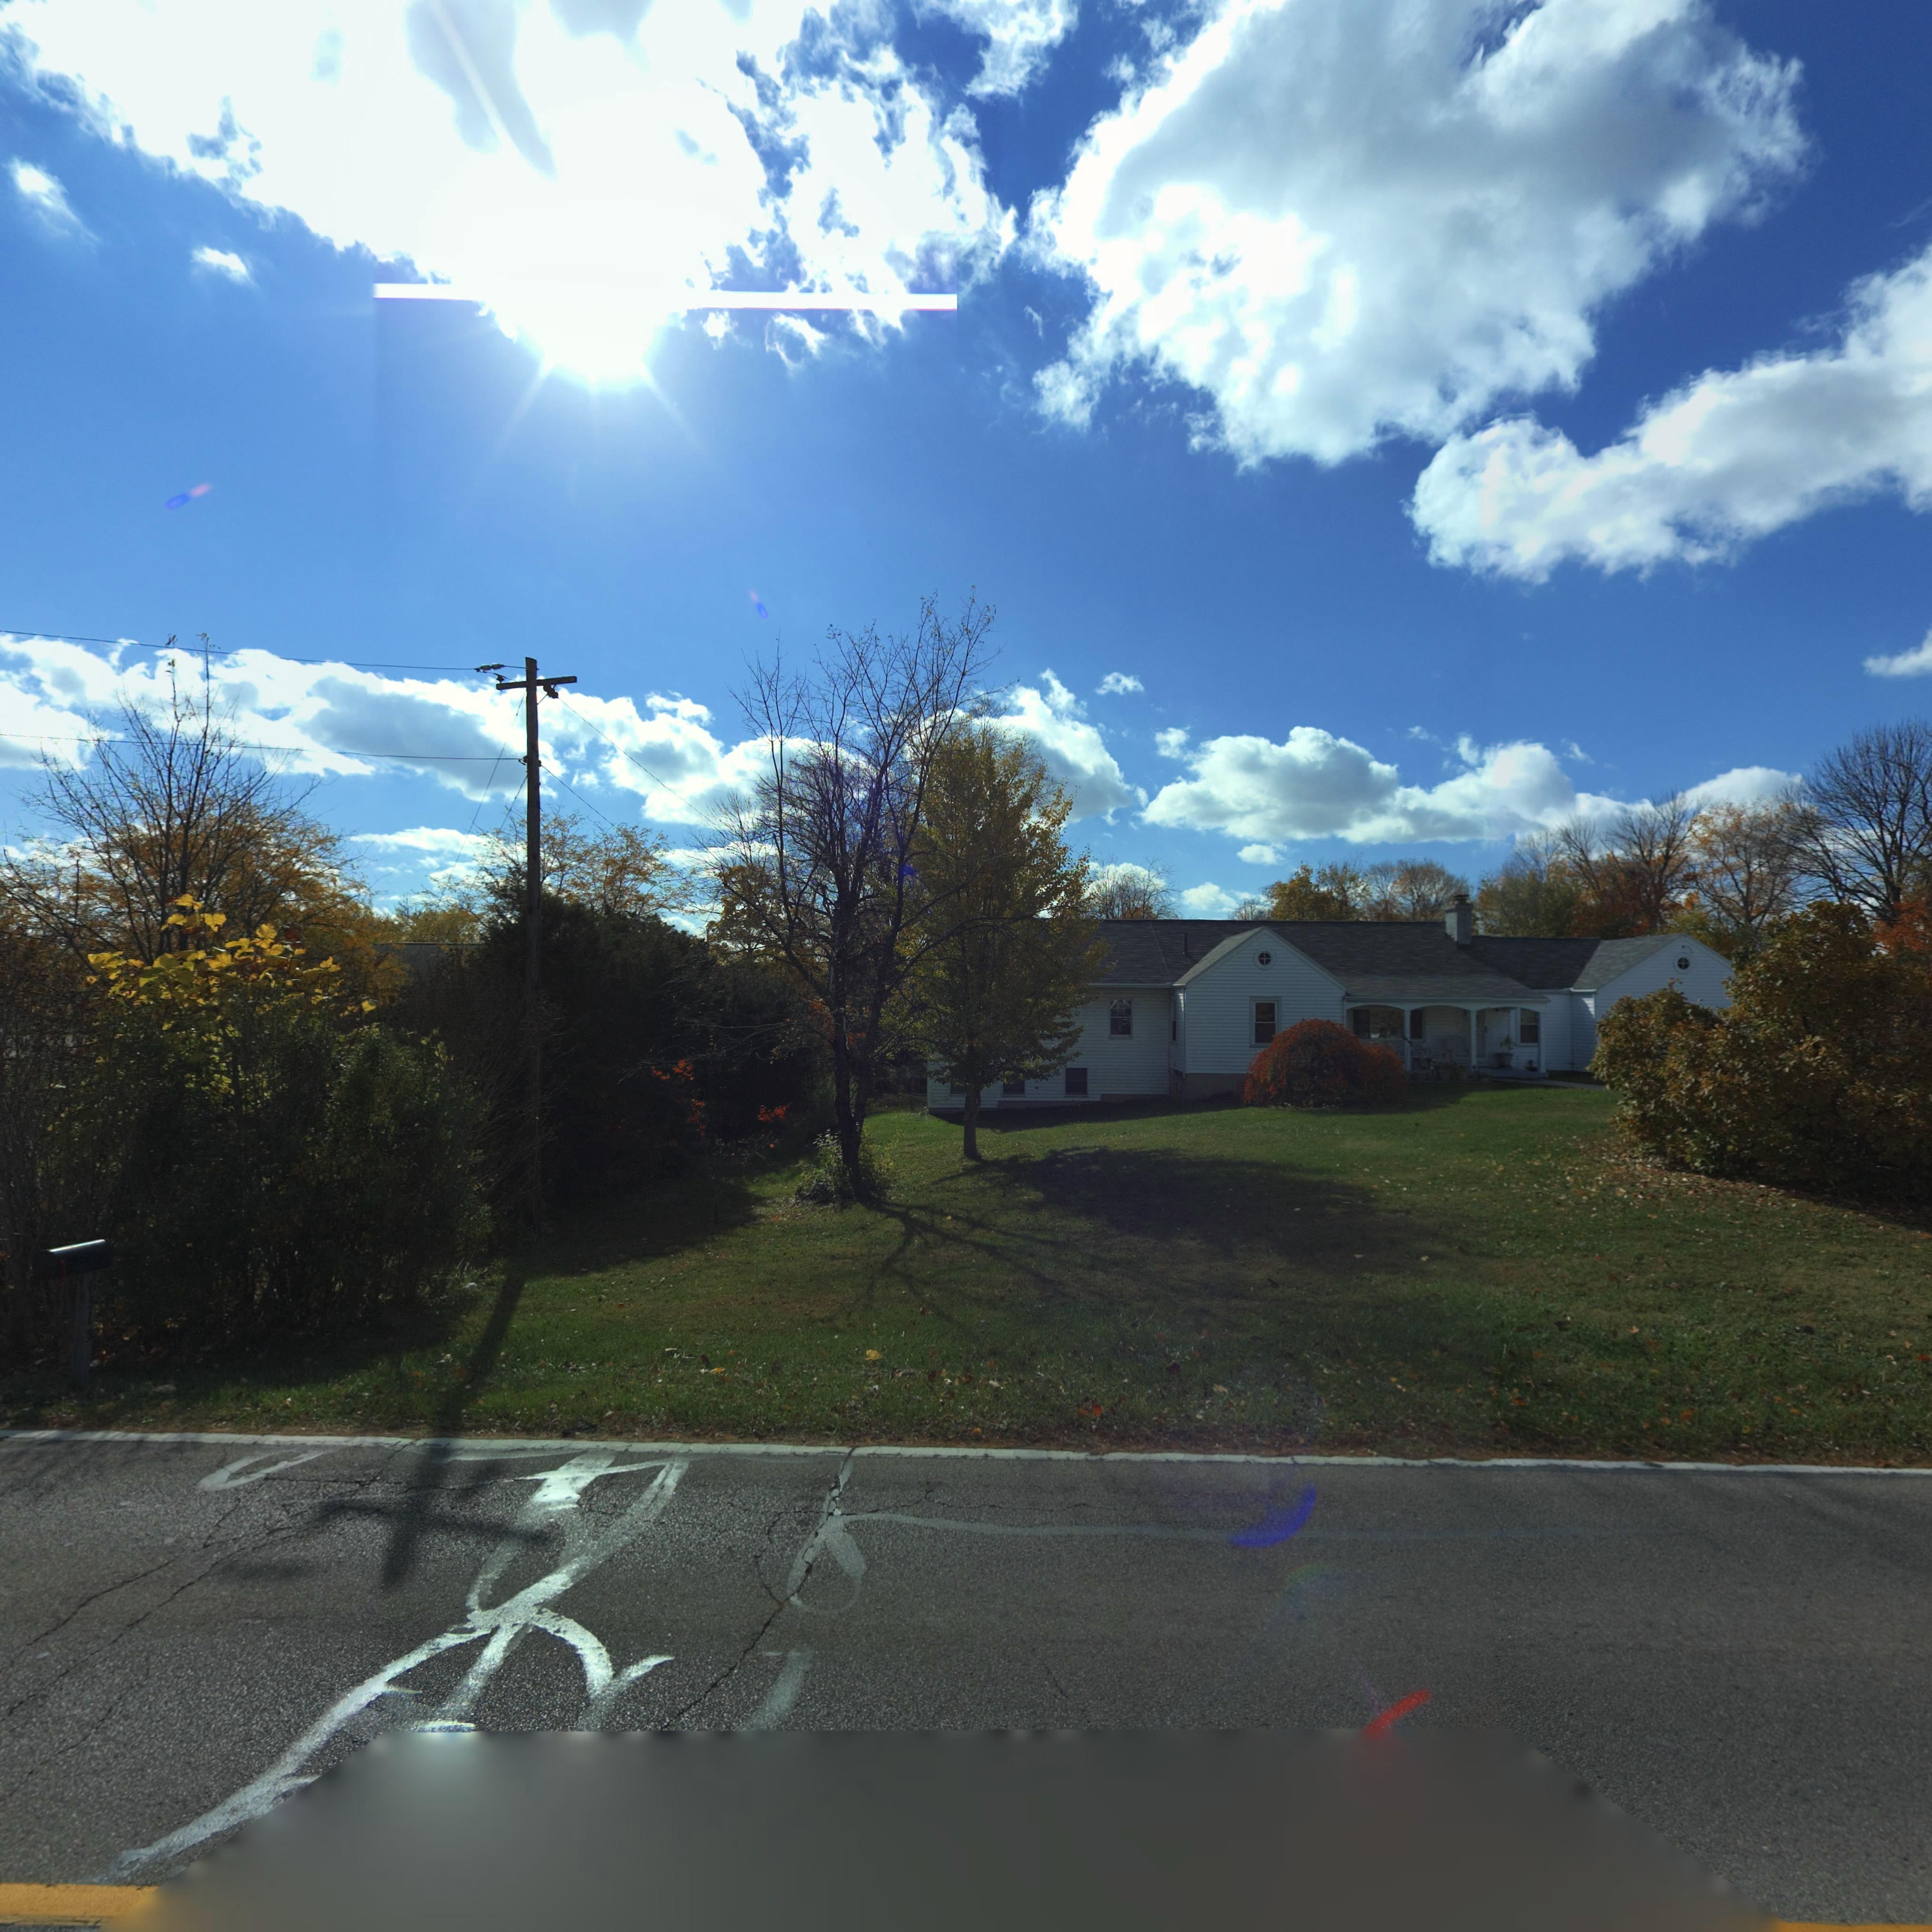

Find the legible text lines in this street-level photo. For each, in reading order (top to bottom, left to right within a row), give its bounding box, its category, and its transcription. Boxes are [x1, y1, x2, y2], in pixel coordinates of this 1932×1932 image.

[83, 1275, 98, 1344] StreetNumber: 6513